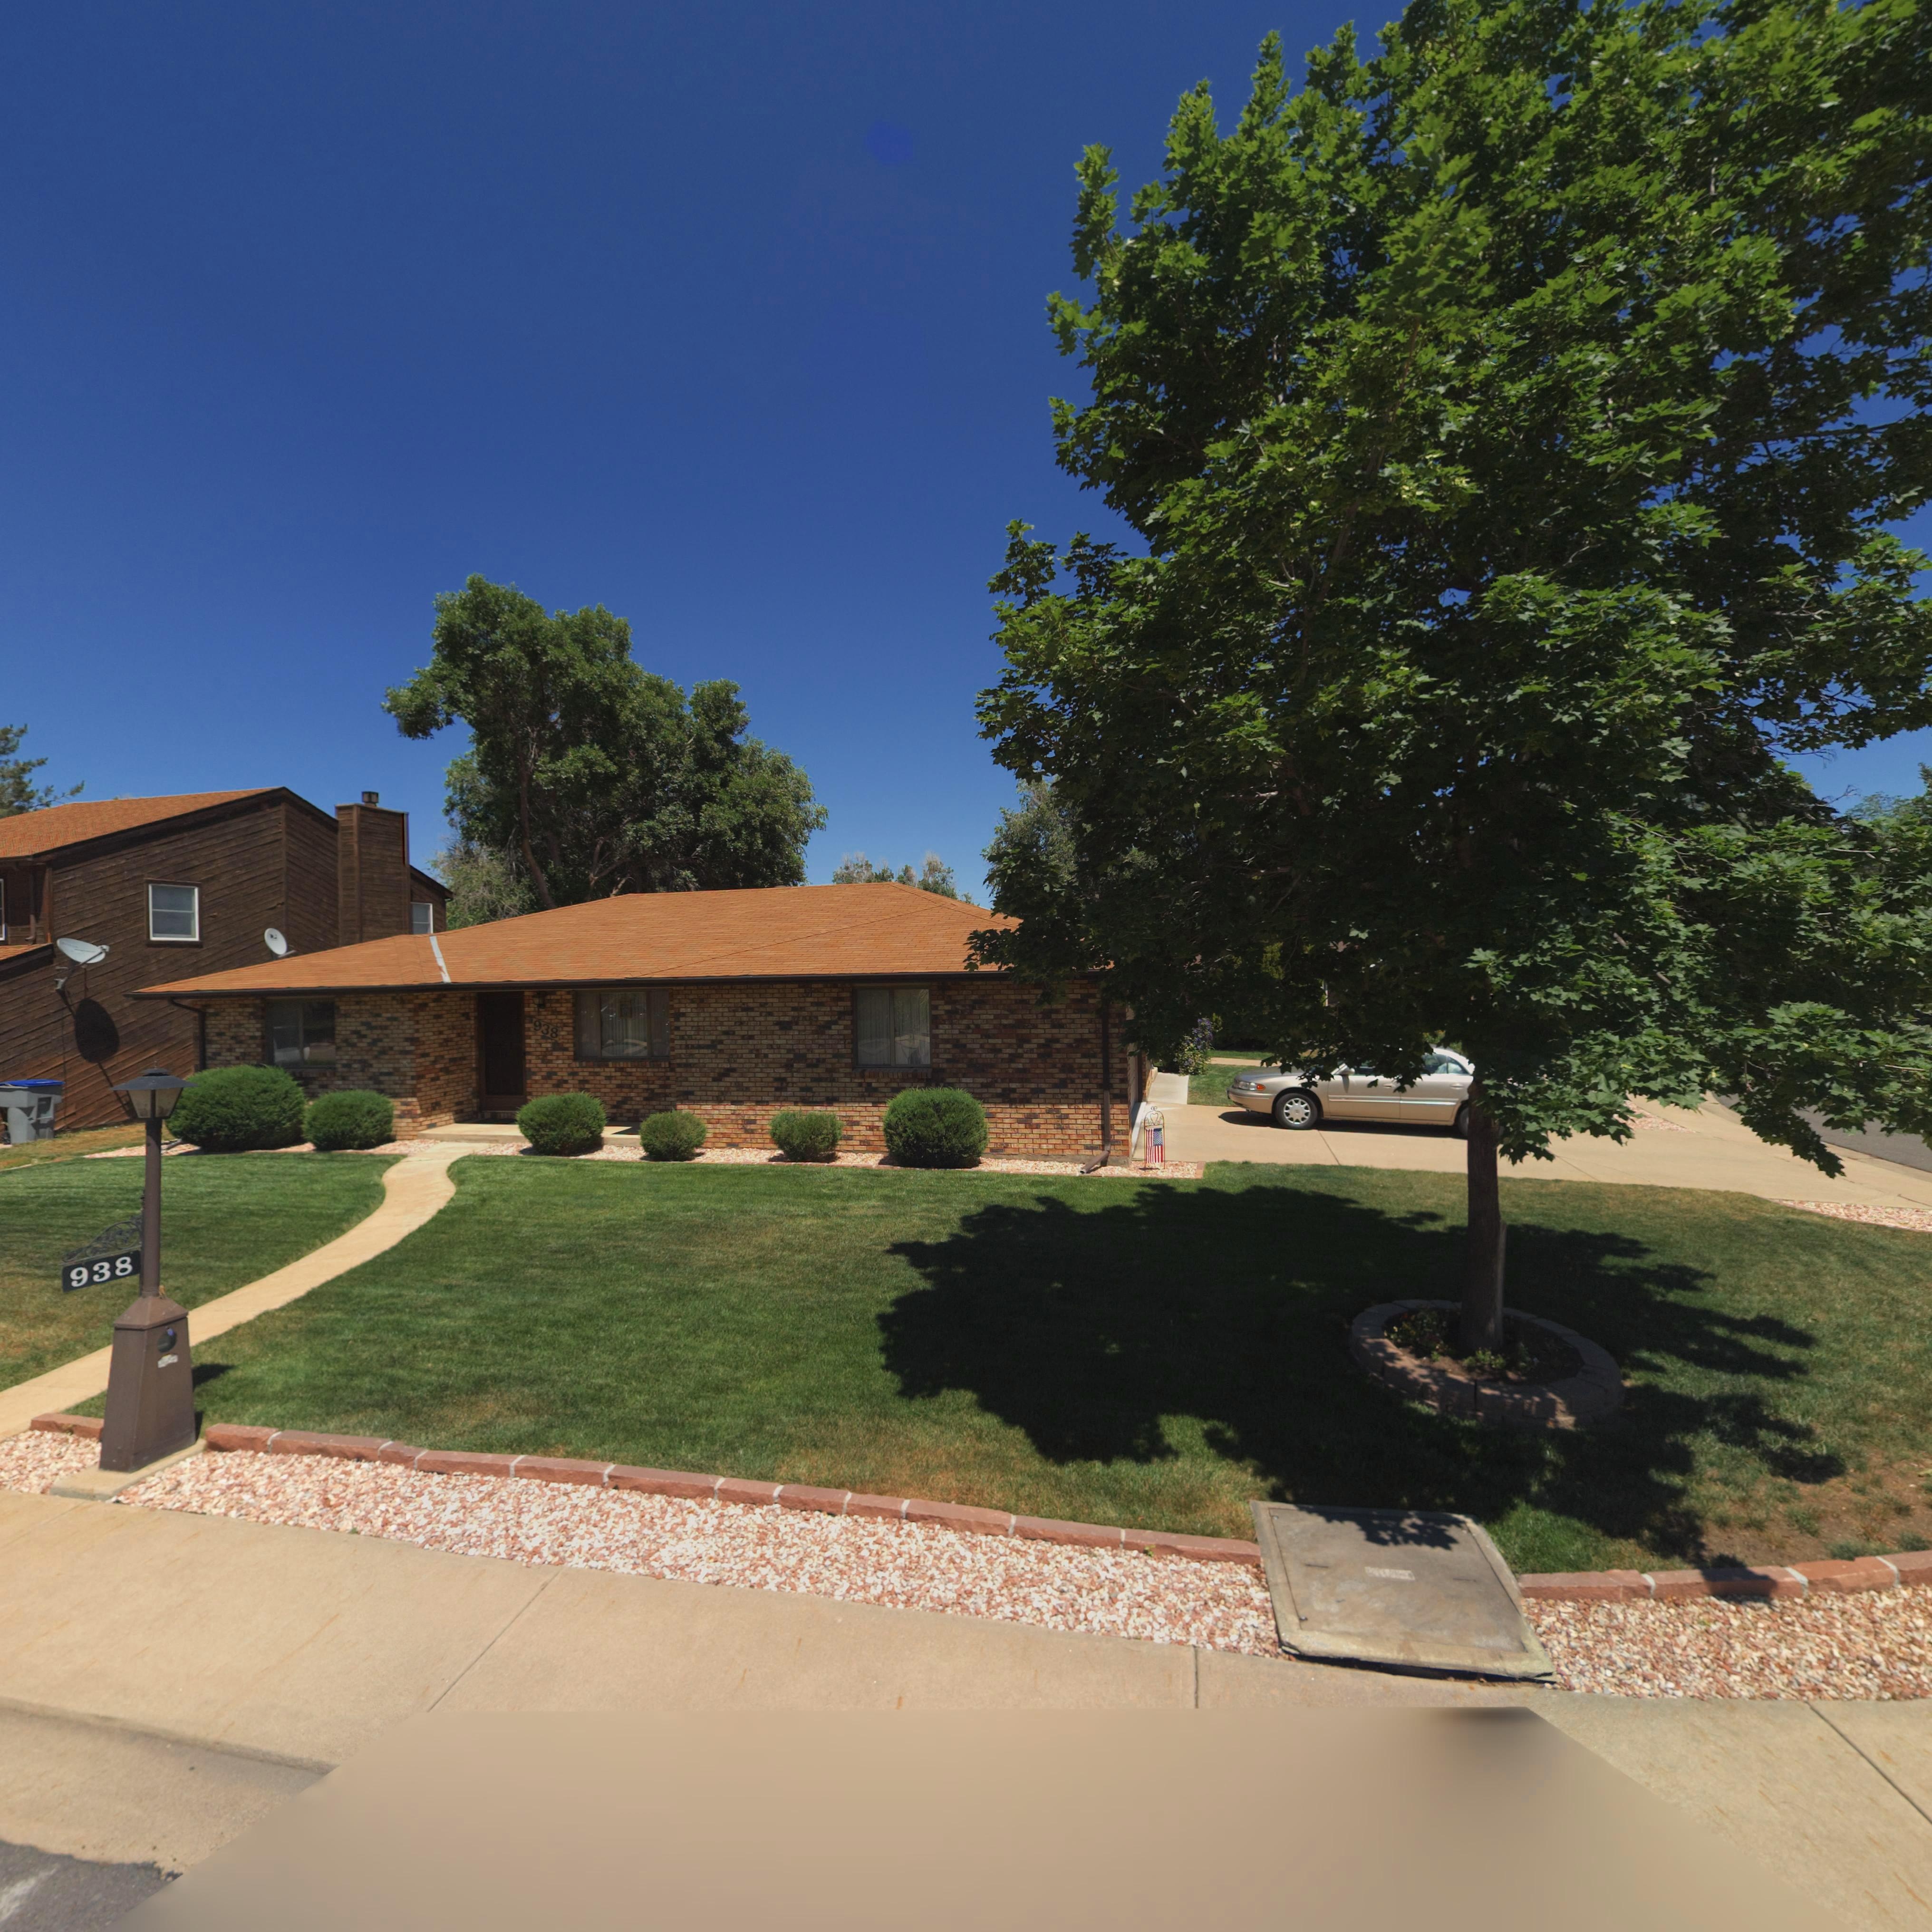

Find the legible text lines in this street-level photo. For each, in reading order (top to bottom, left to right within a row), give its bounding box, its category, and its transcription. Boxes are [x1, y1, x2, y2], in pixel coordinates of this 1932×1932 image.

[534, 1019, 558, 1038] StreetNumber: 938
[68, 1254, 134, 1288] StreetNumber: 938